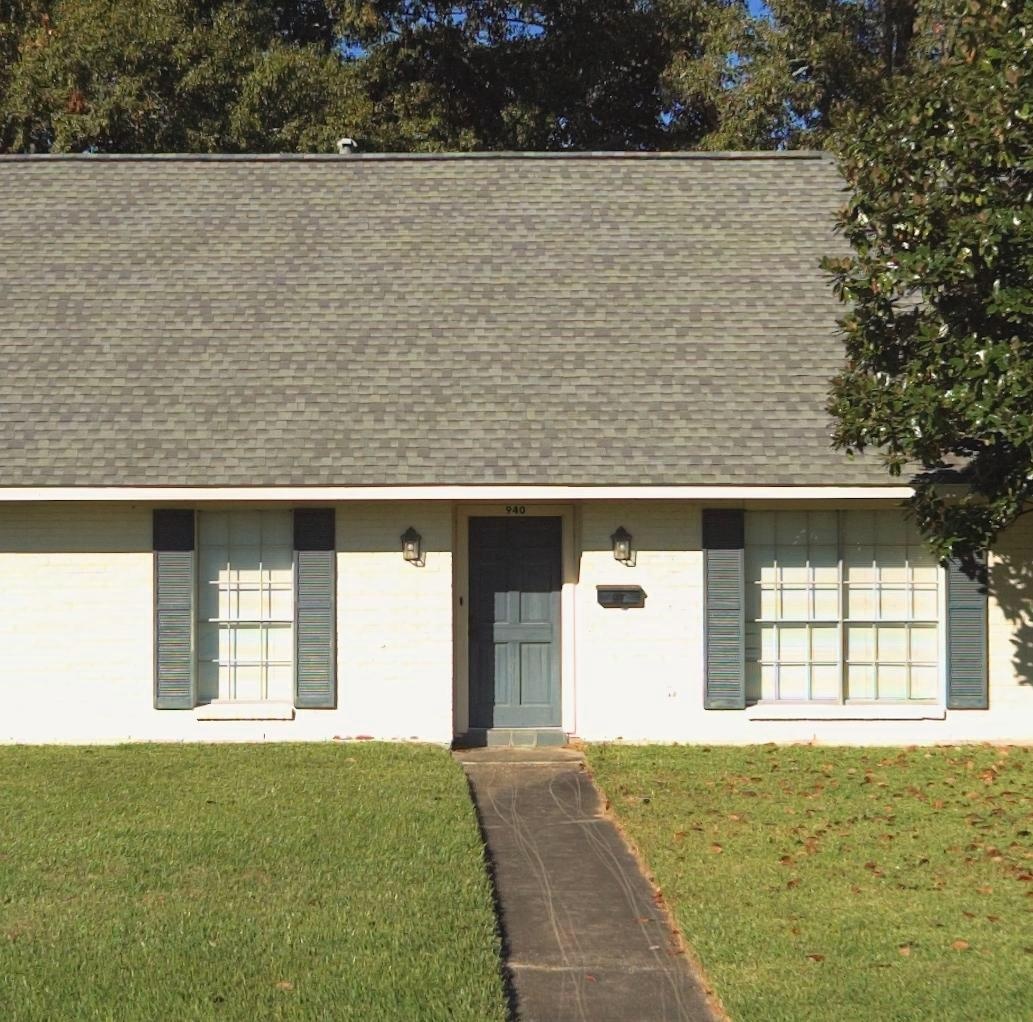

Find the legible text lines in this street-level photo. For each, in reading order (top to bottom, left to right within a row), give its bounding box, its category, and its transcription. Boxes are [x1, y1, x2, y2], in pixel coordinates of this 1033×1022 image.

[504, 504, 527, 516] StreetNumber: 940